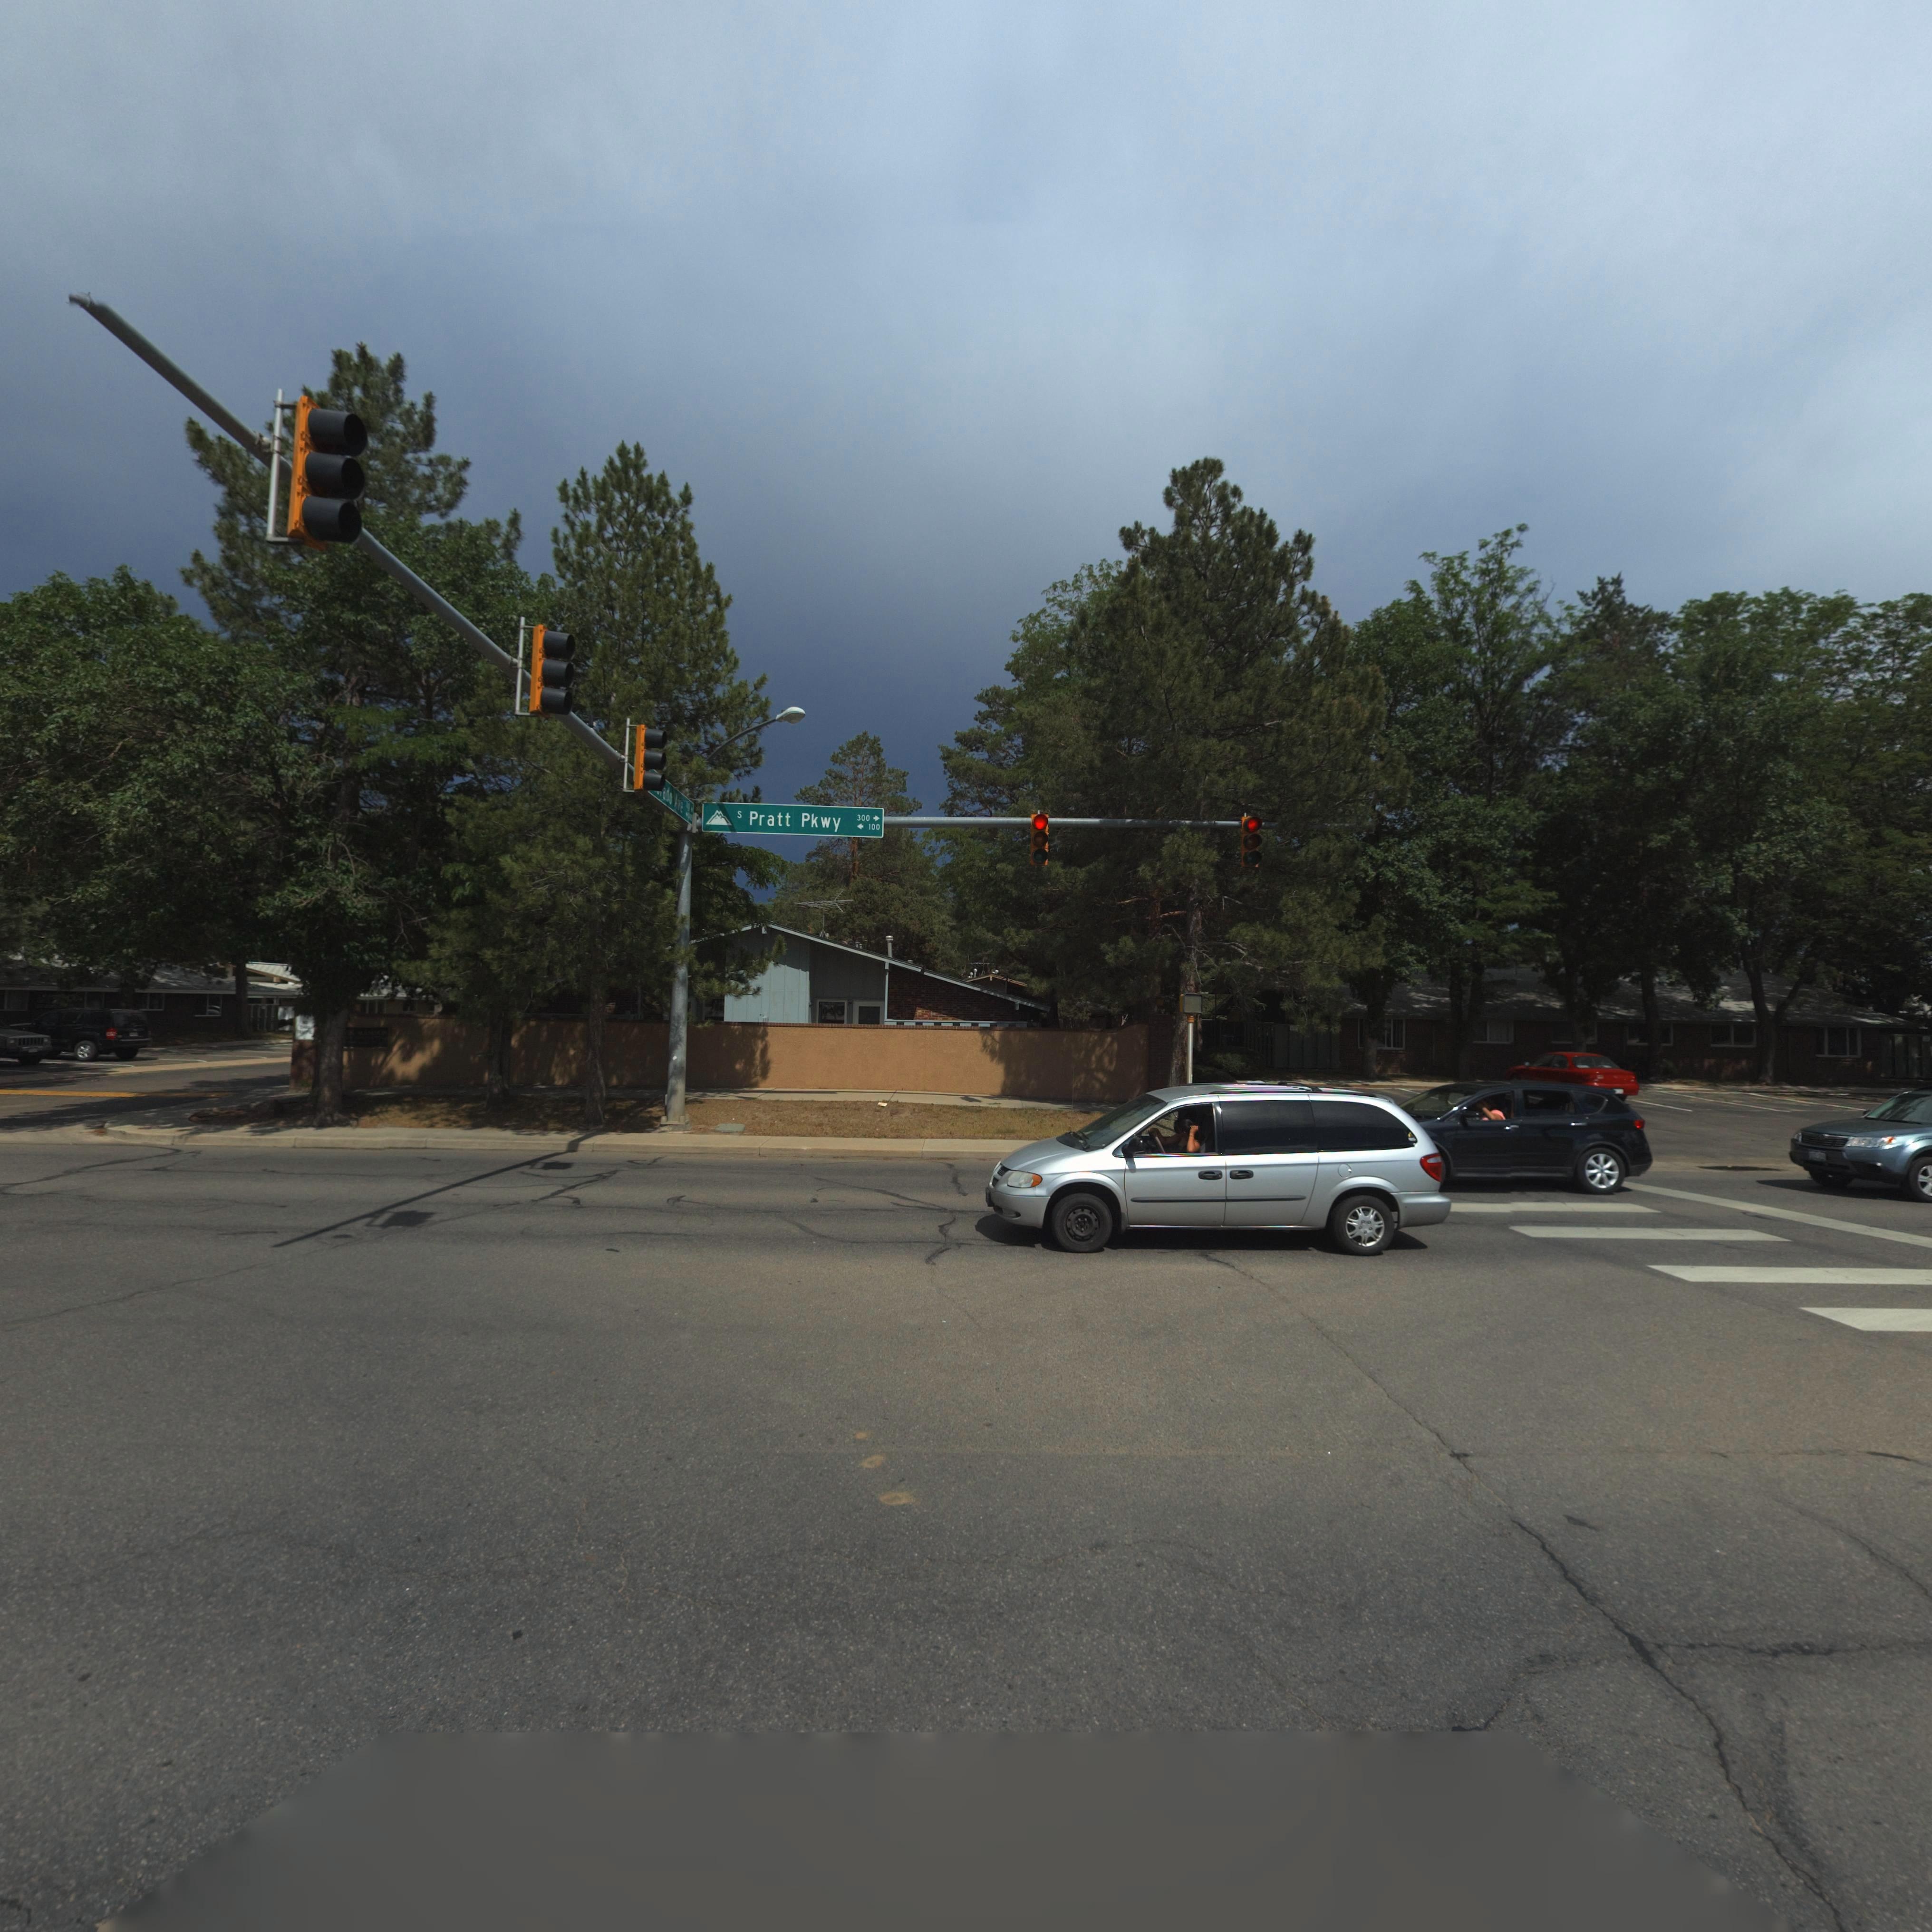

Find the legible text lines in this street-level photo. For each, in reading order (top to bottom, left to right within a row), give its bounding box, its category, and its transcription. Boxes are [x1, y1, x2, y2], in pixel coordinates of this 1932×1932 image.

[662, 787, 684, 813] StreetName: ado Ave
[685, 801, 691, 811] StreetNumberRange: 100
[685, 811, 693, 821] StreetNumberRange: <- 1100
[736, 810, 841, 832] StreetName: S Pratt Pkwy
[856, 814, 880, 822] StreetNumberRange: 300 ->
[856, 822, 880, 831] StreetNumberRange: <- 100